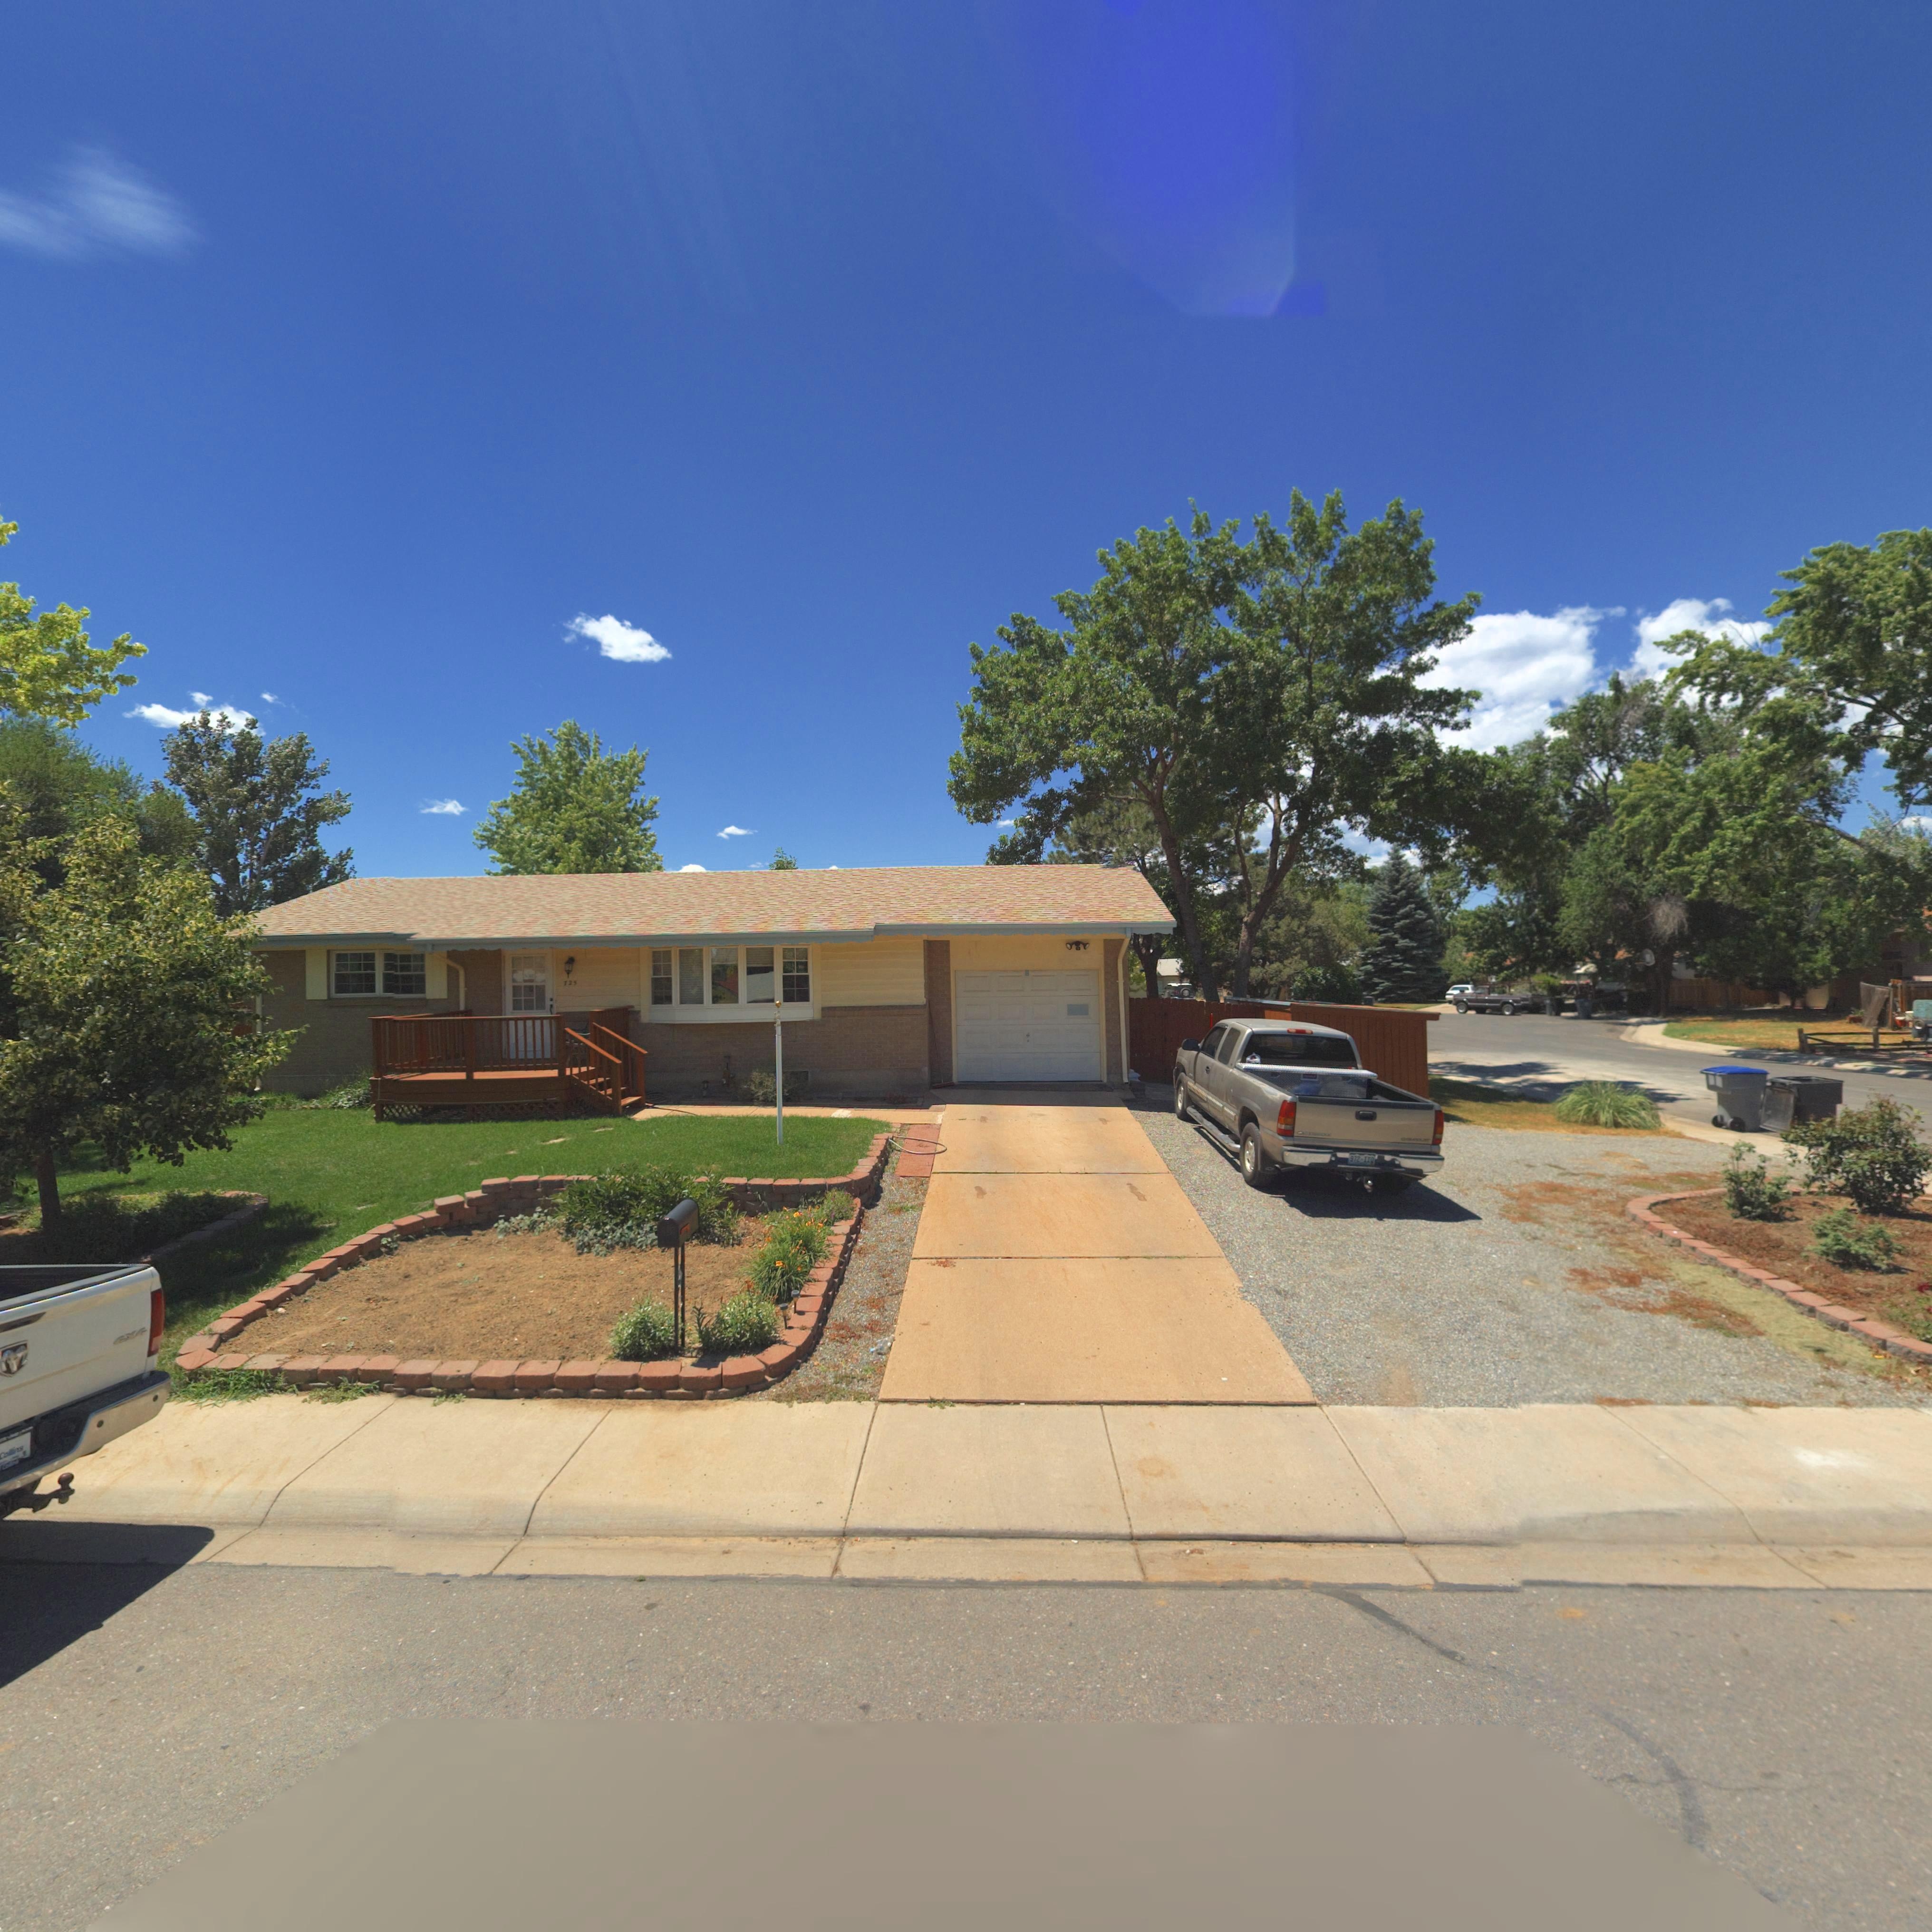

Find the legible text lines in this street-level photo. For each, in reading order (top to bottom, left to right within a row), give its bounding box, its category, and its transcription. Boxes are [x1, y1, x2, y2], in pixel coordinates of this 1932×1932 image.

[563, 980, 577, 985] StreetNumber: 725